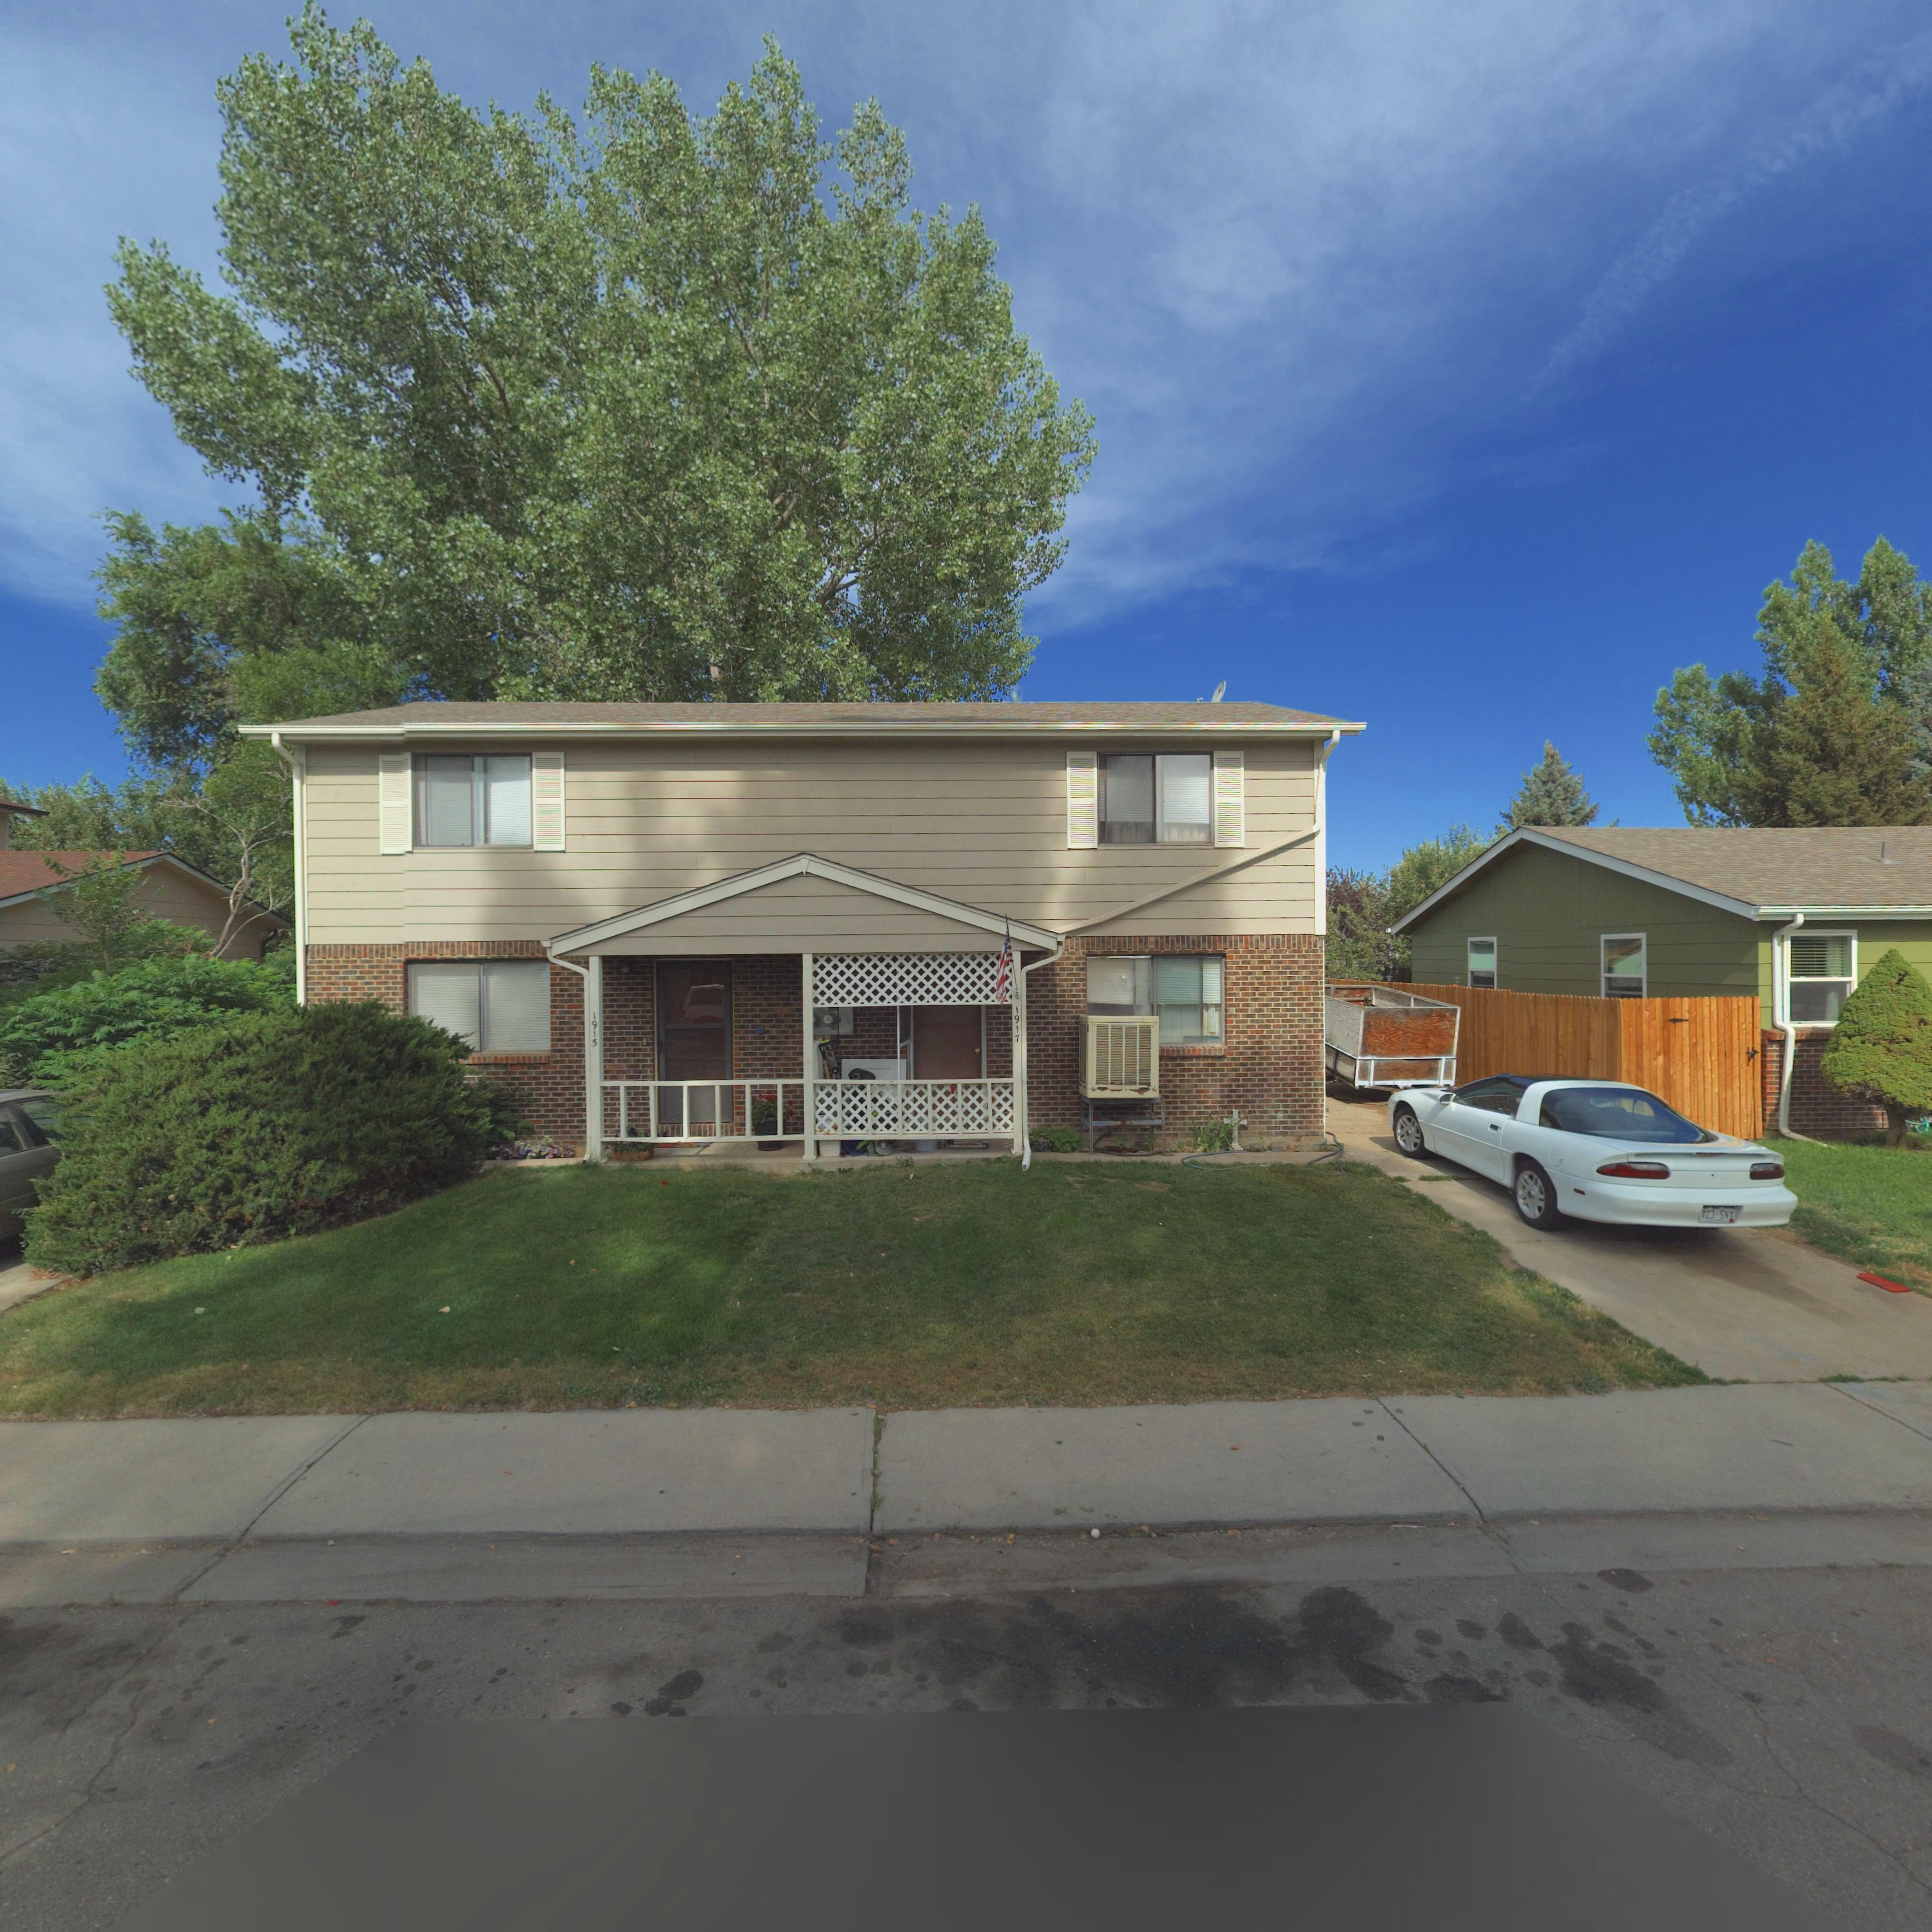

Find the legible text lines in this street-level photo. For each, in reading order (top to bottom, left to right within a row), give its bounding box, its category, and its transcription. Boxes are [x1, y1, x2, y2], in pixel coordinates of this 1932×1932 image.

[592, 1011, 597, 1047] StreetNumber: 1915
[1014, 1005, 1019, 1043] StreetNumber: 1917